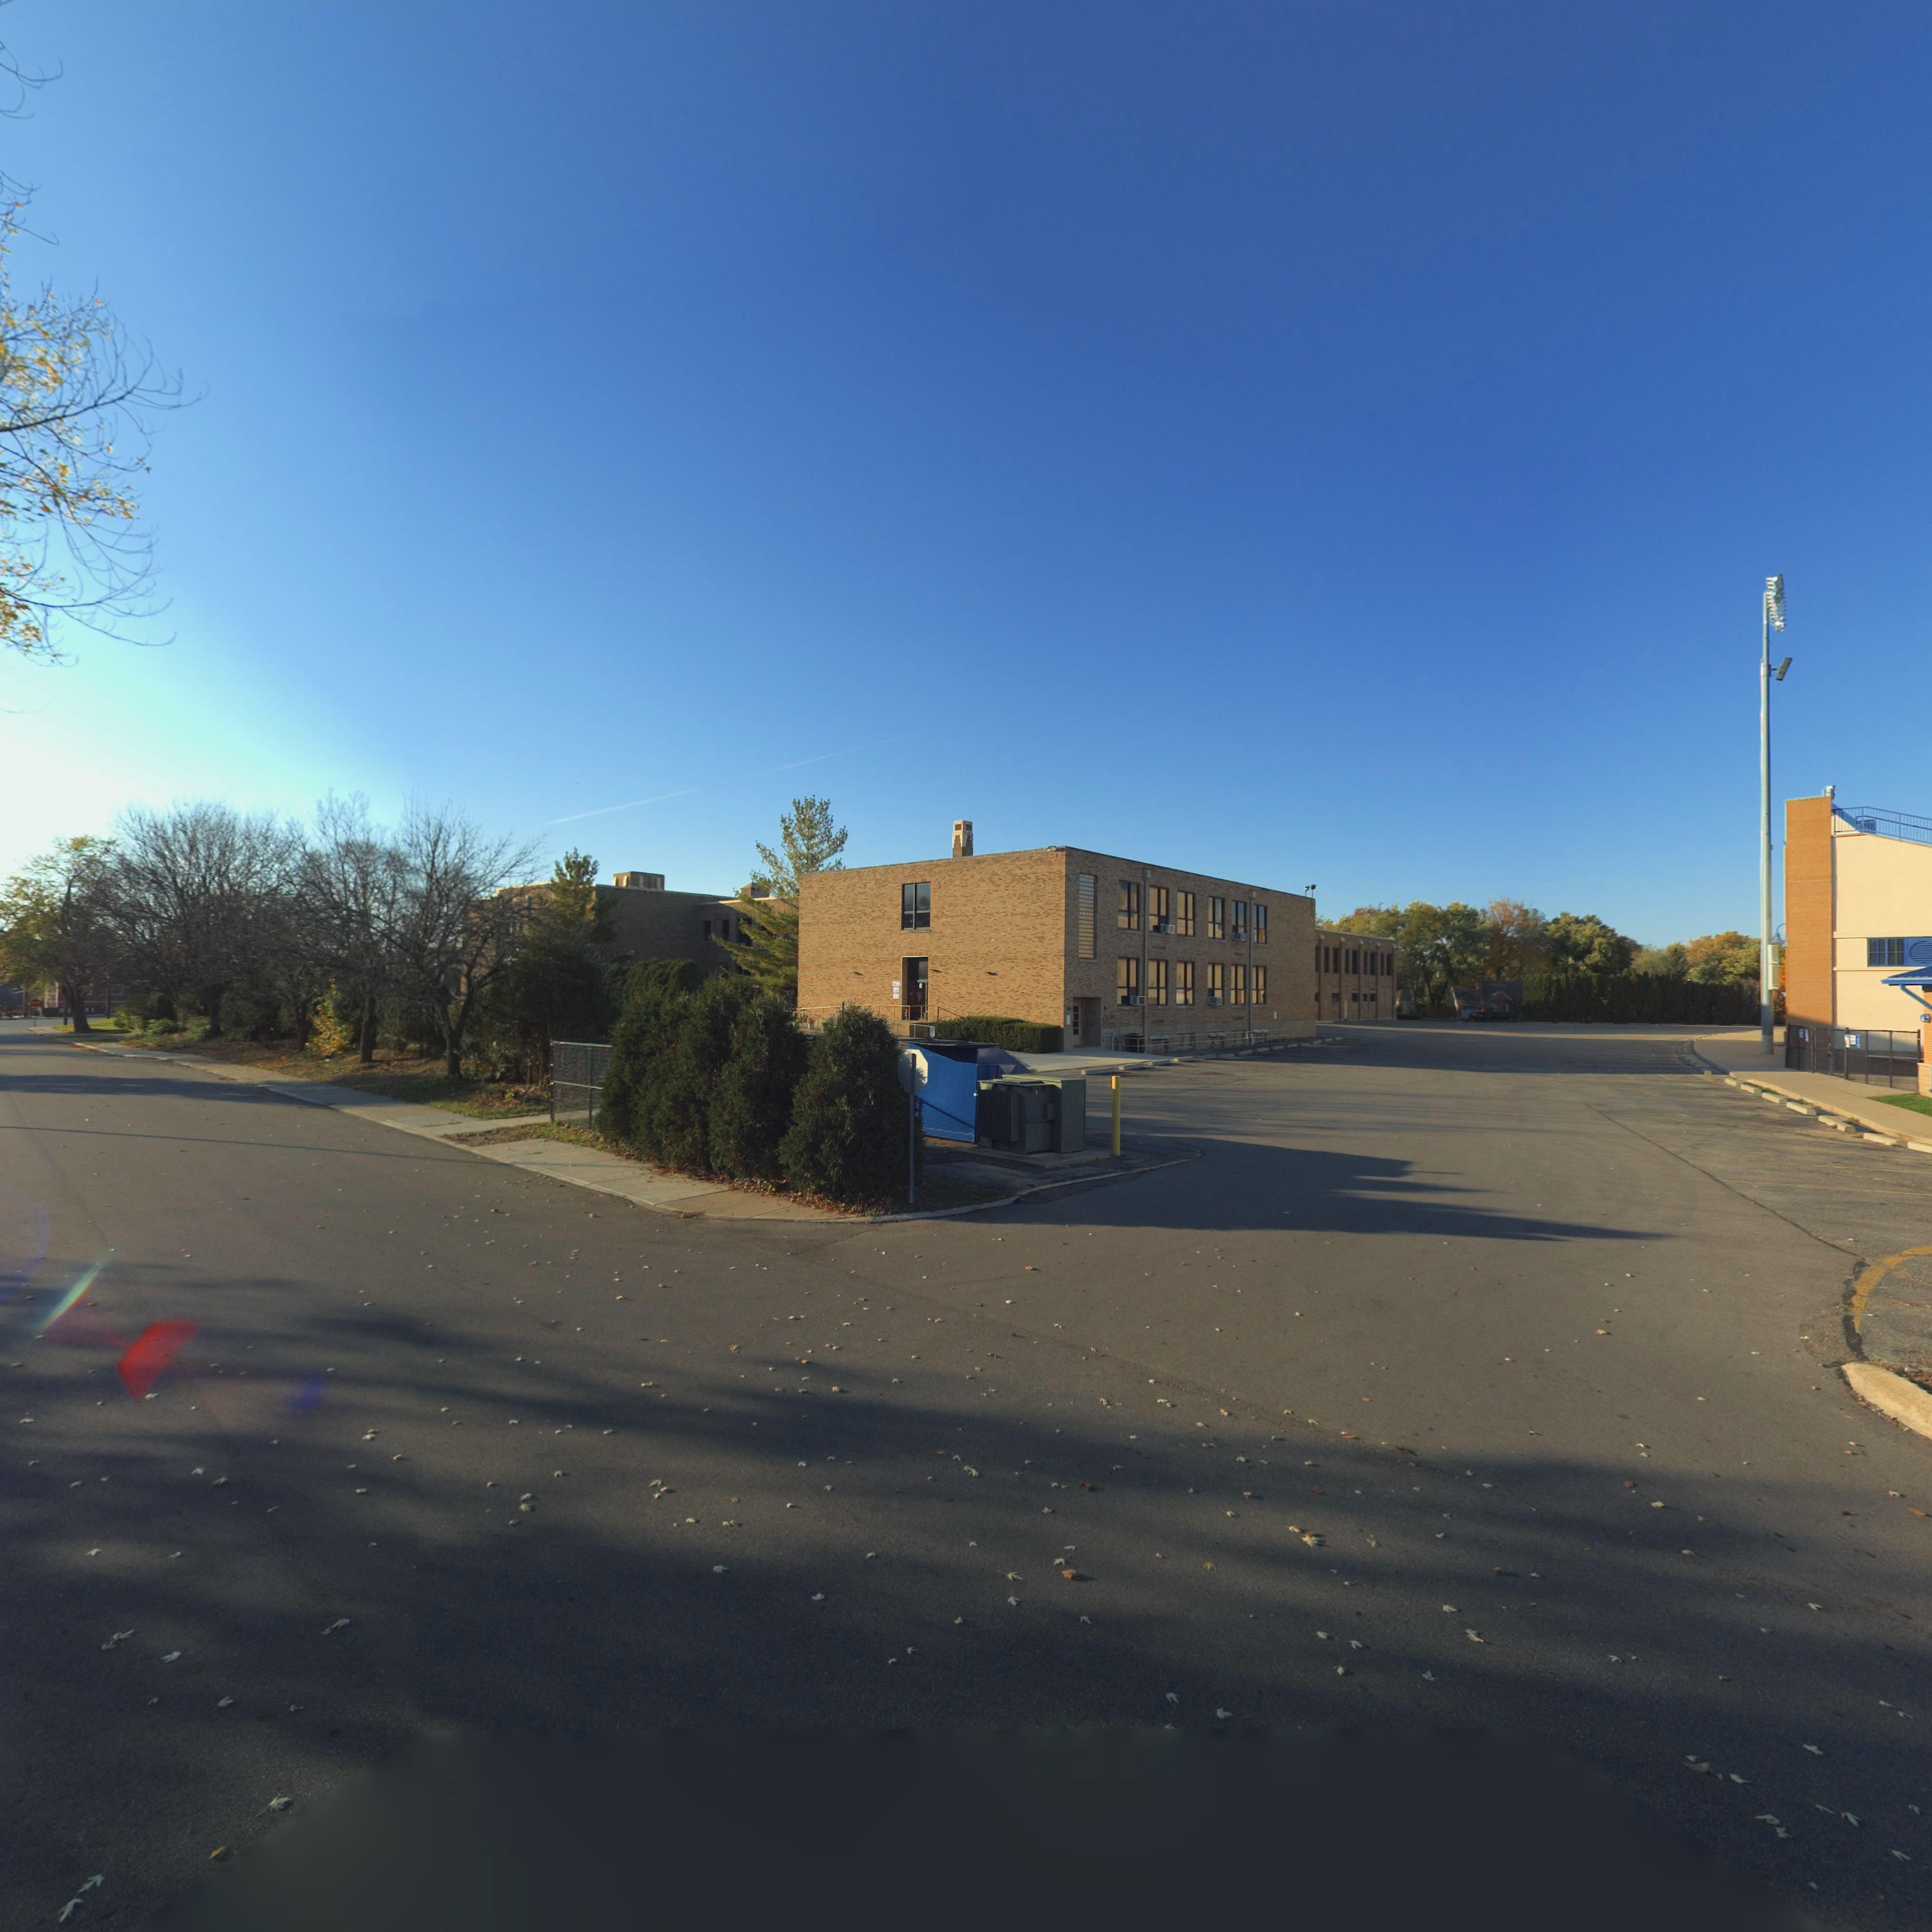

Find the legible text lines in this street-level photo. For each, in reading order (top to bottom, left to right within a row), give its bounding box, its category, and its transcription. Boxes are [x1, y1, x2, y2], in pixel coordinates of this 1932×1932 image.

[918, 983, 923, 989] StreetNumber: 8